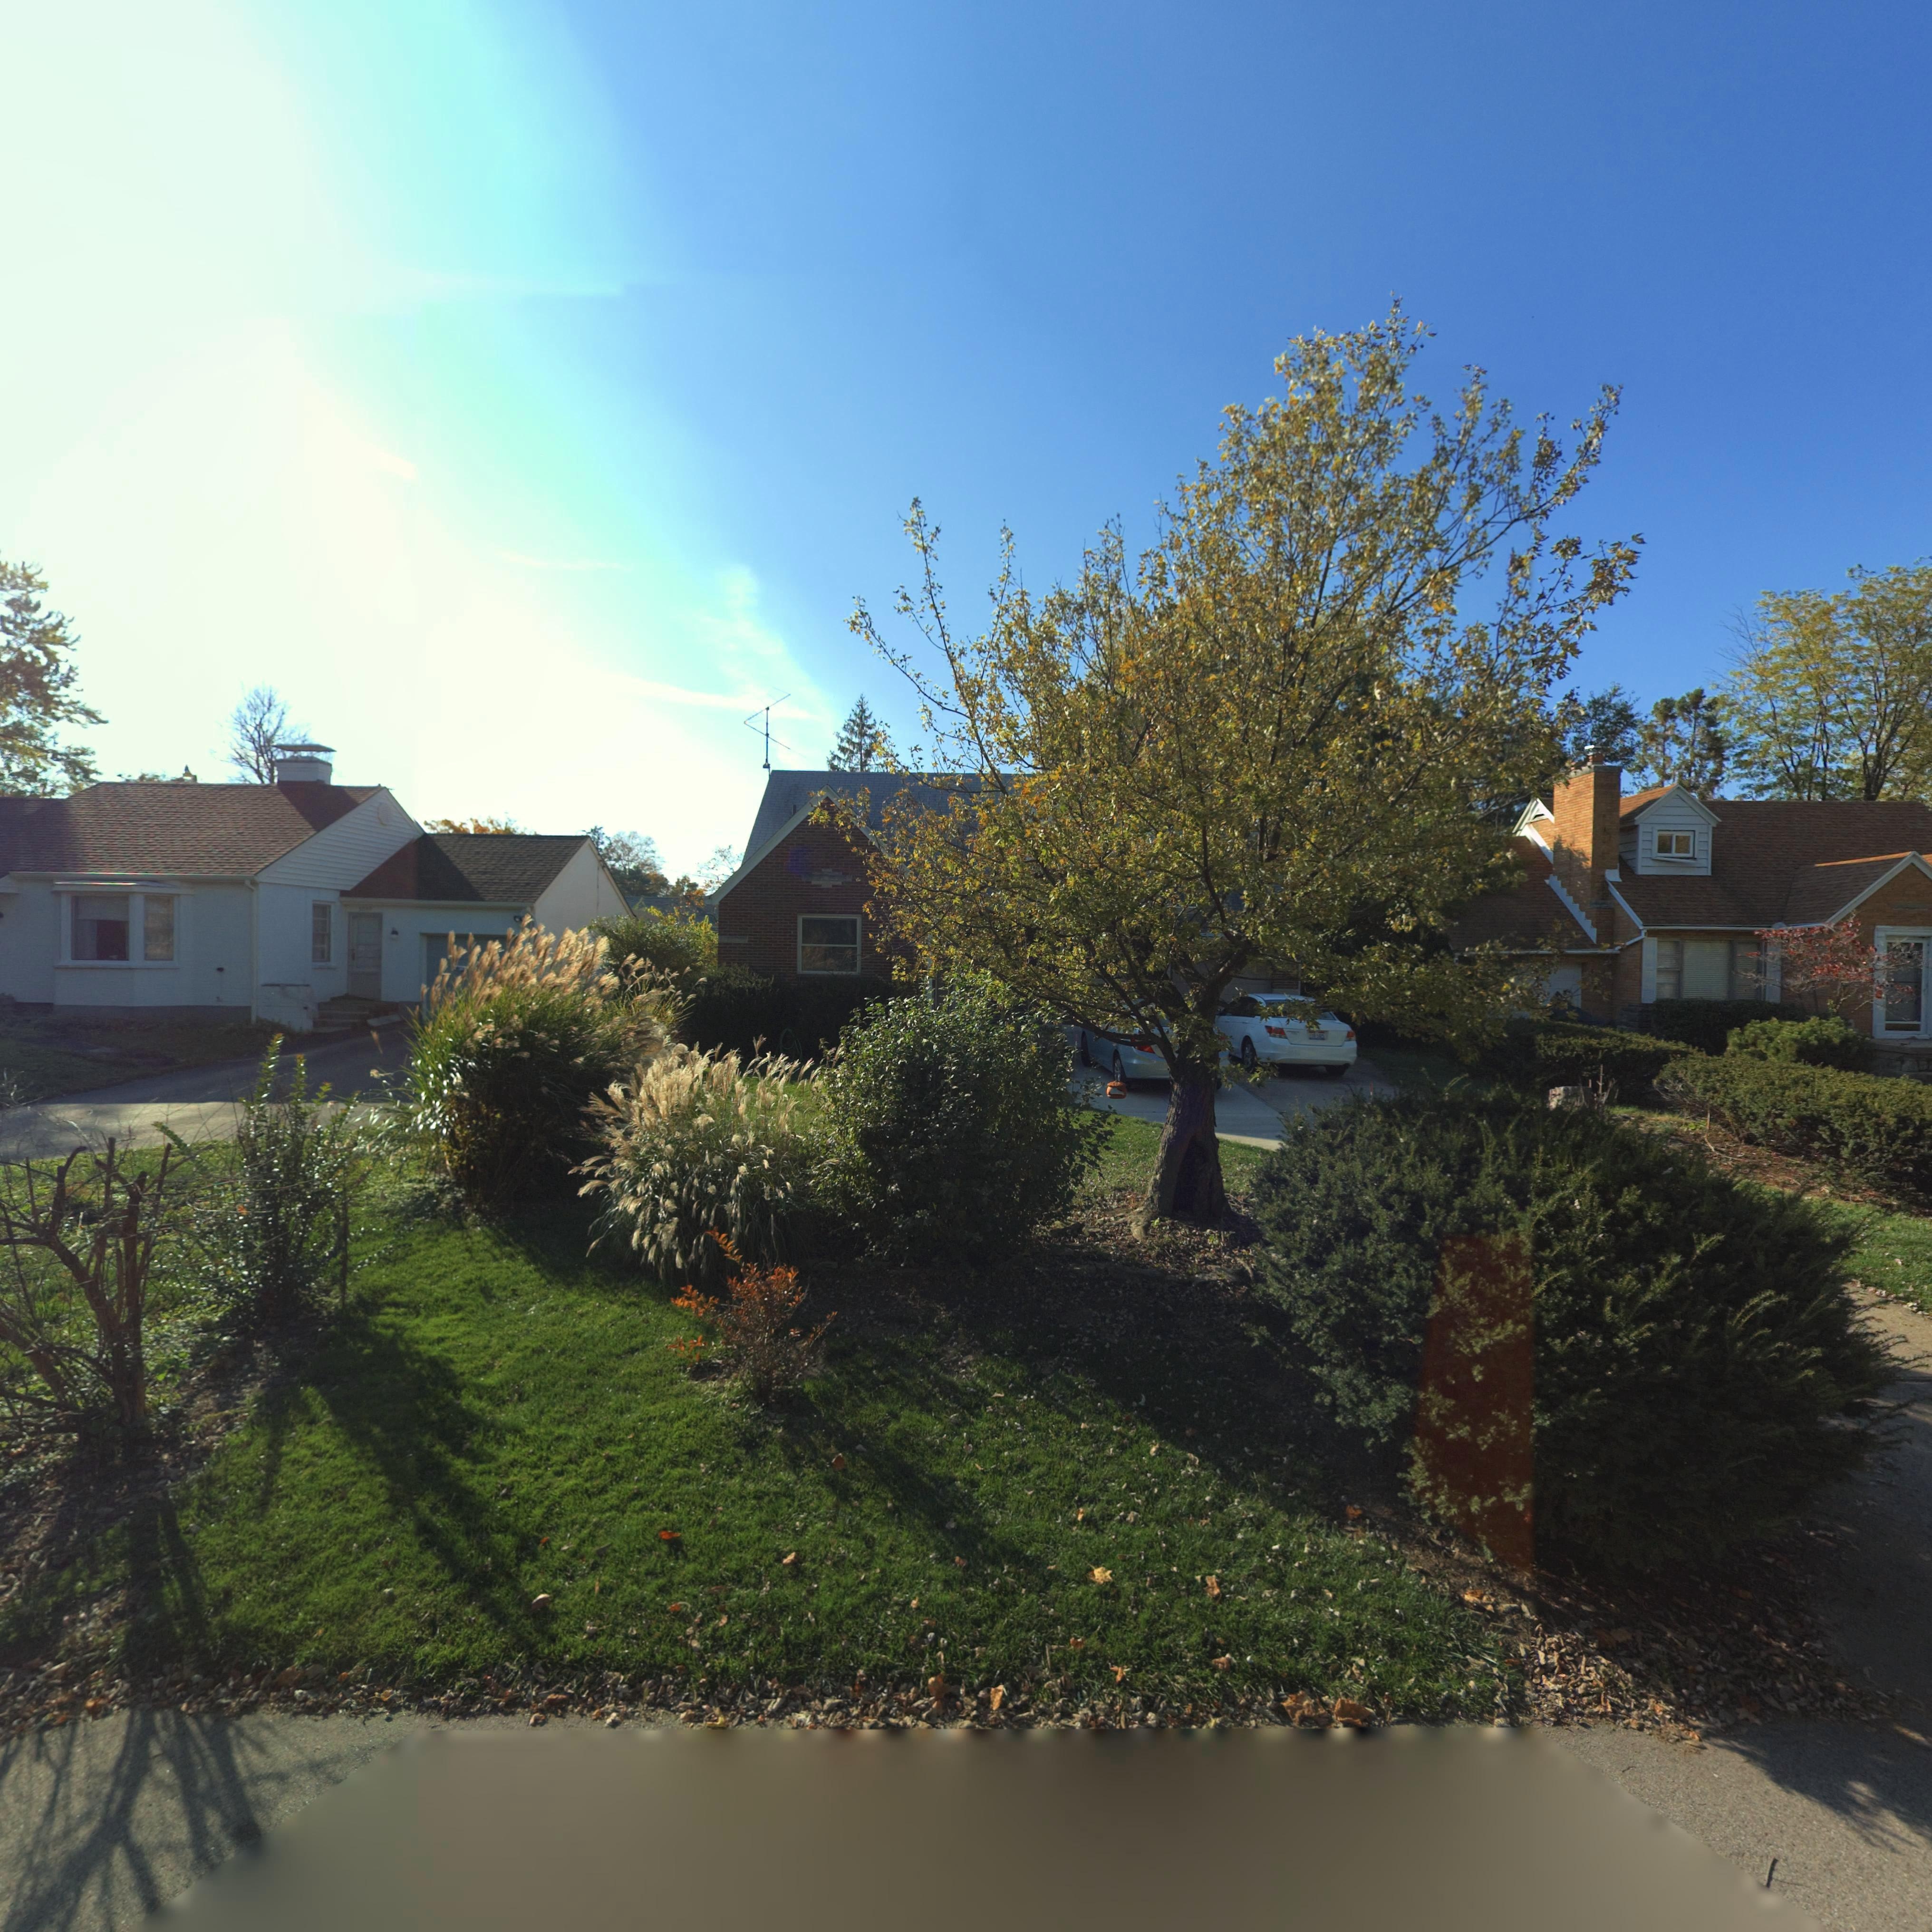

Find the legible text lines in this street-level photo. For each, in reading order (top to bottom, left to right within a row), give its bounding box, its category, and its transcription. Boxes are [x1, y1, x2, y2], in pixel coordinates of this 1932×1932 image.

[357, 905, 373, 911] StreetNumber: 32**